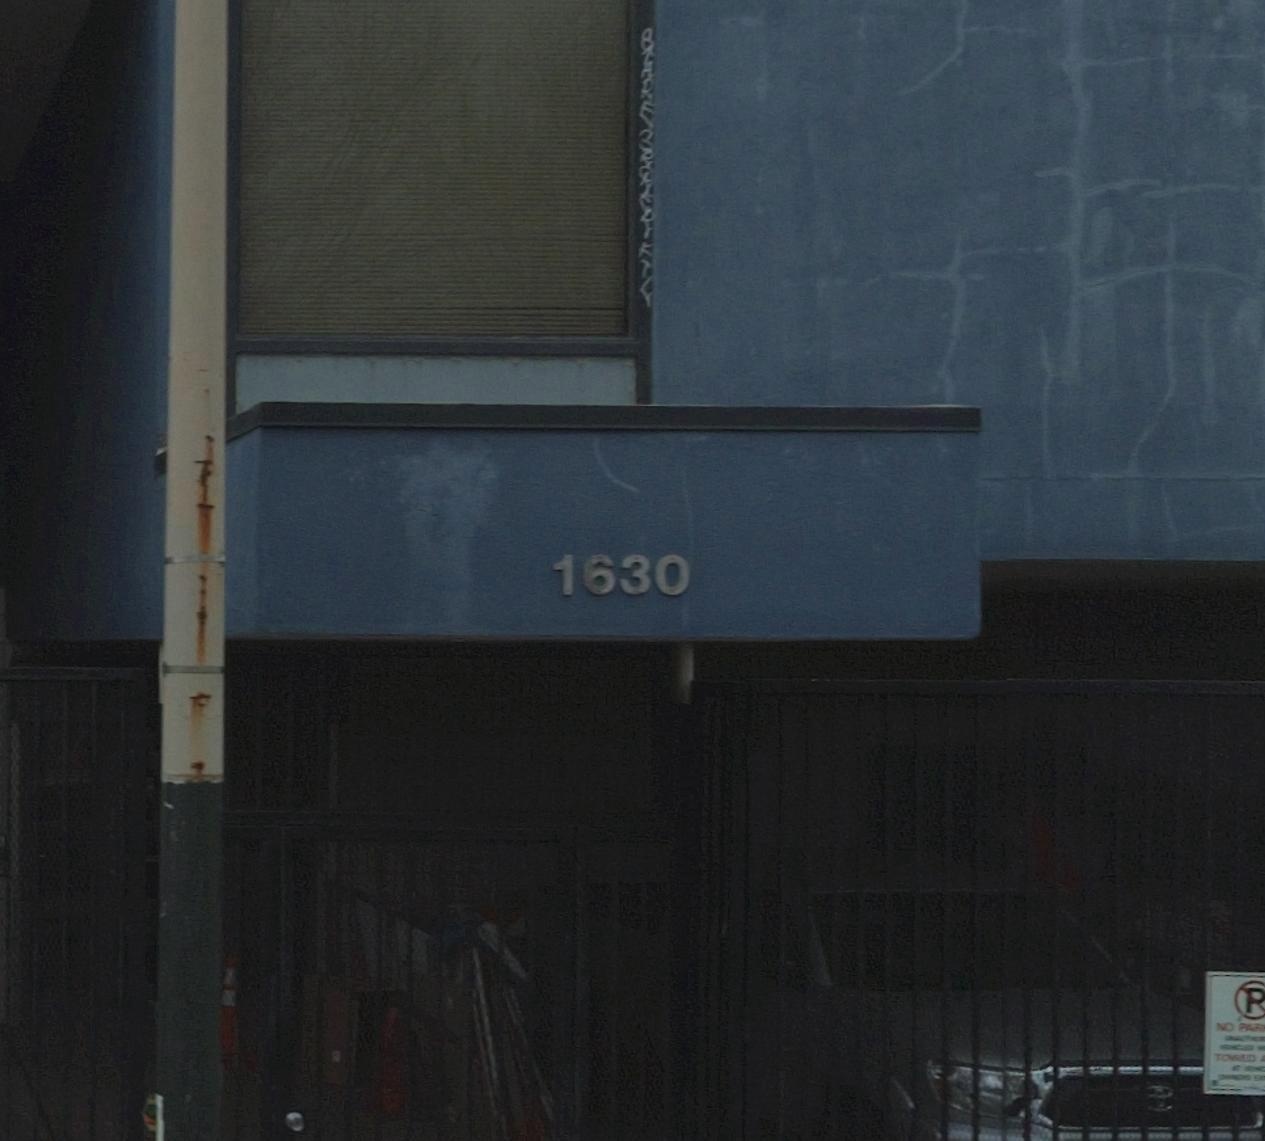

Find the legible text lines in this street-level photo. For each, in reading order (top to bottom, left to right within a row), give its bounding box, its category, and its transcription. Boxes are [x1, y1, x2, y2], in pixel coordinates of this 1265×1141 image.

[552, 552, 692, 598] StreetNumber: 1630
[1215, 1021, 1265, 1031] None: NO PAR
[1213, 1052, 1256, 1062] None: TOWED